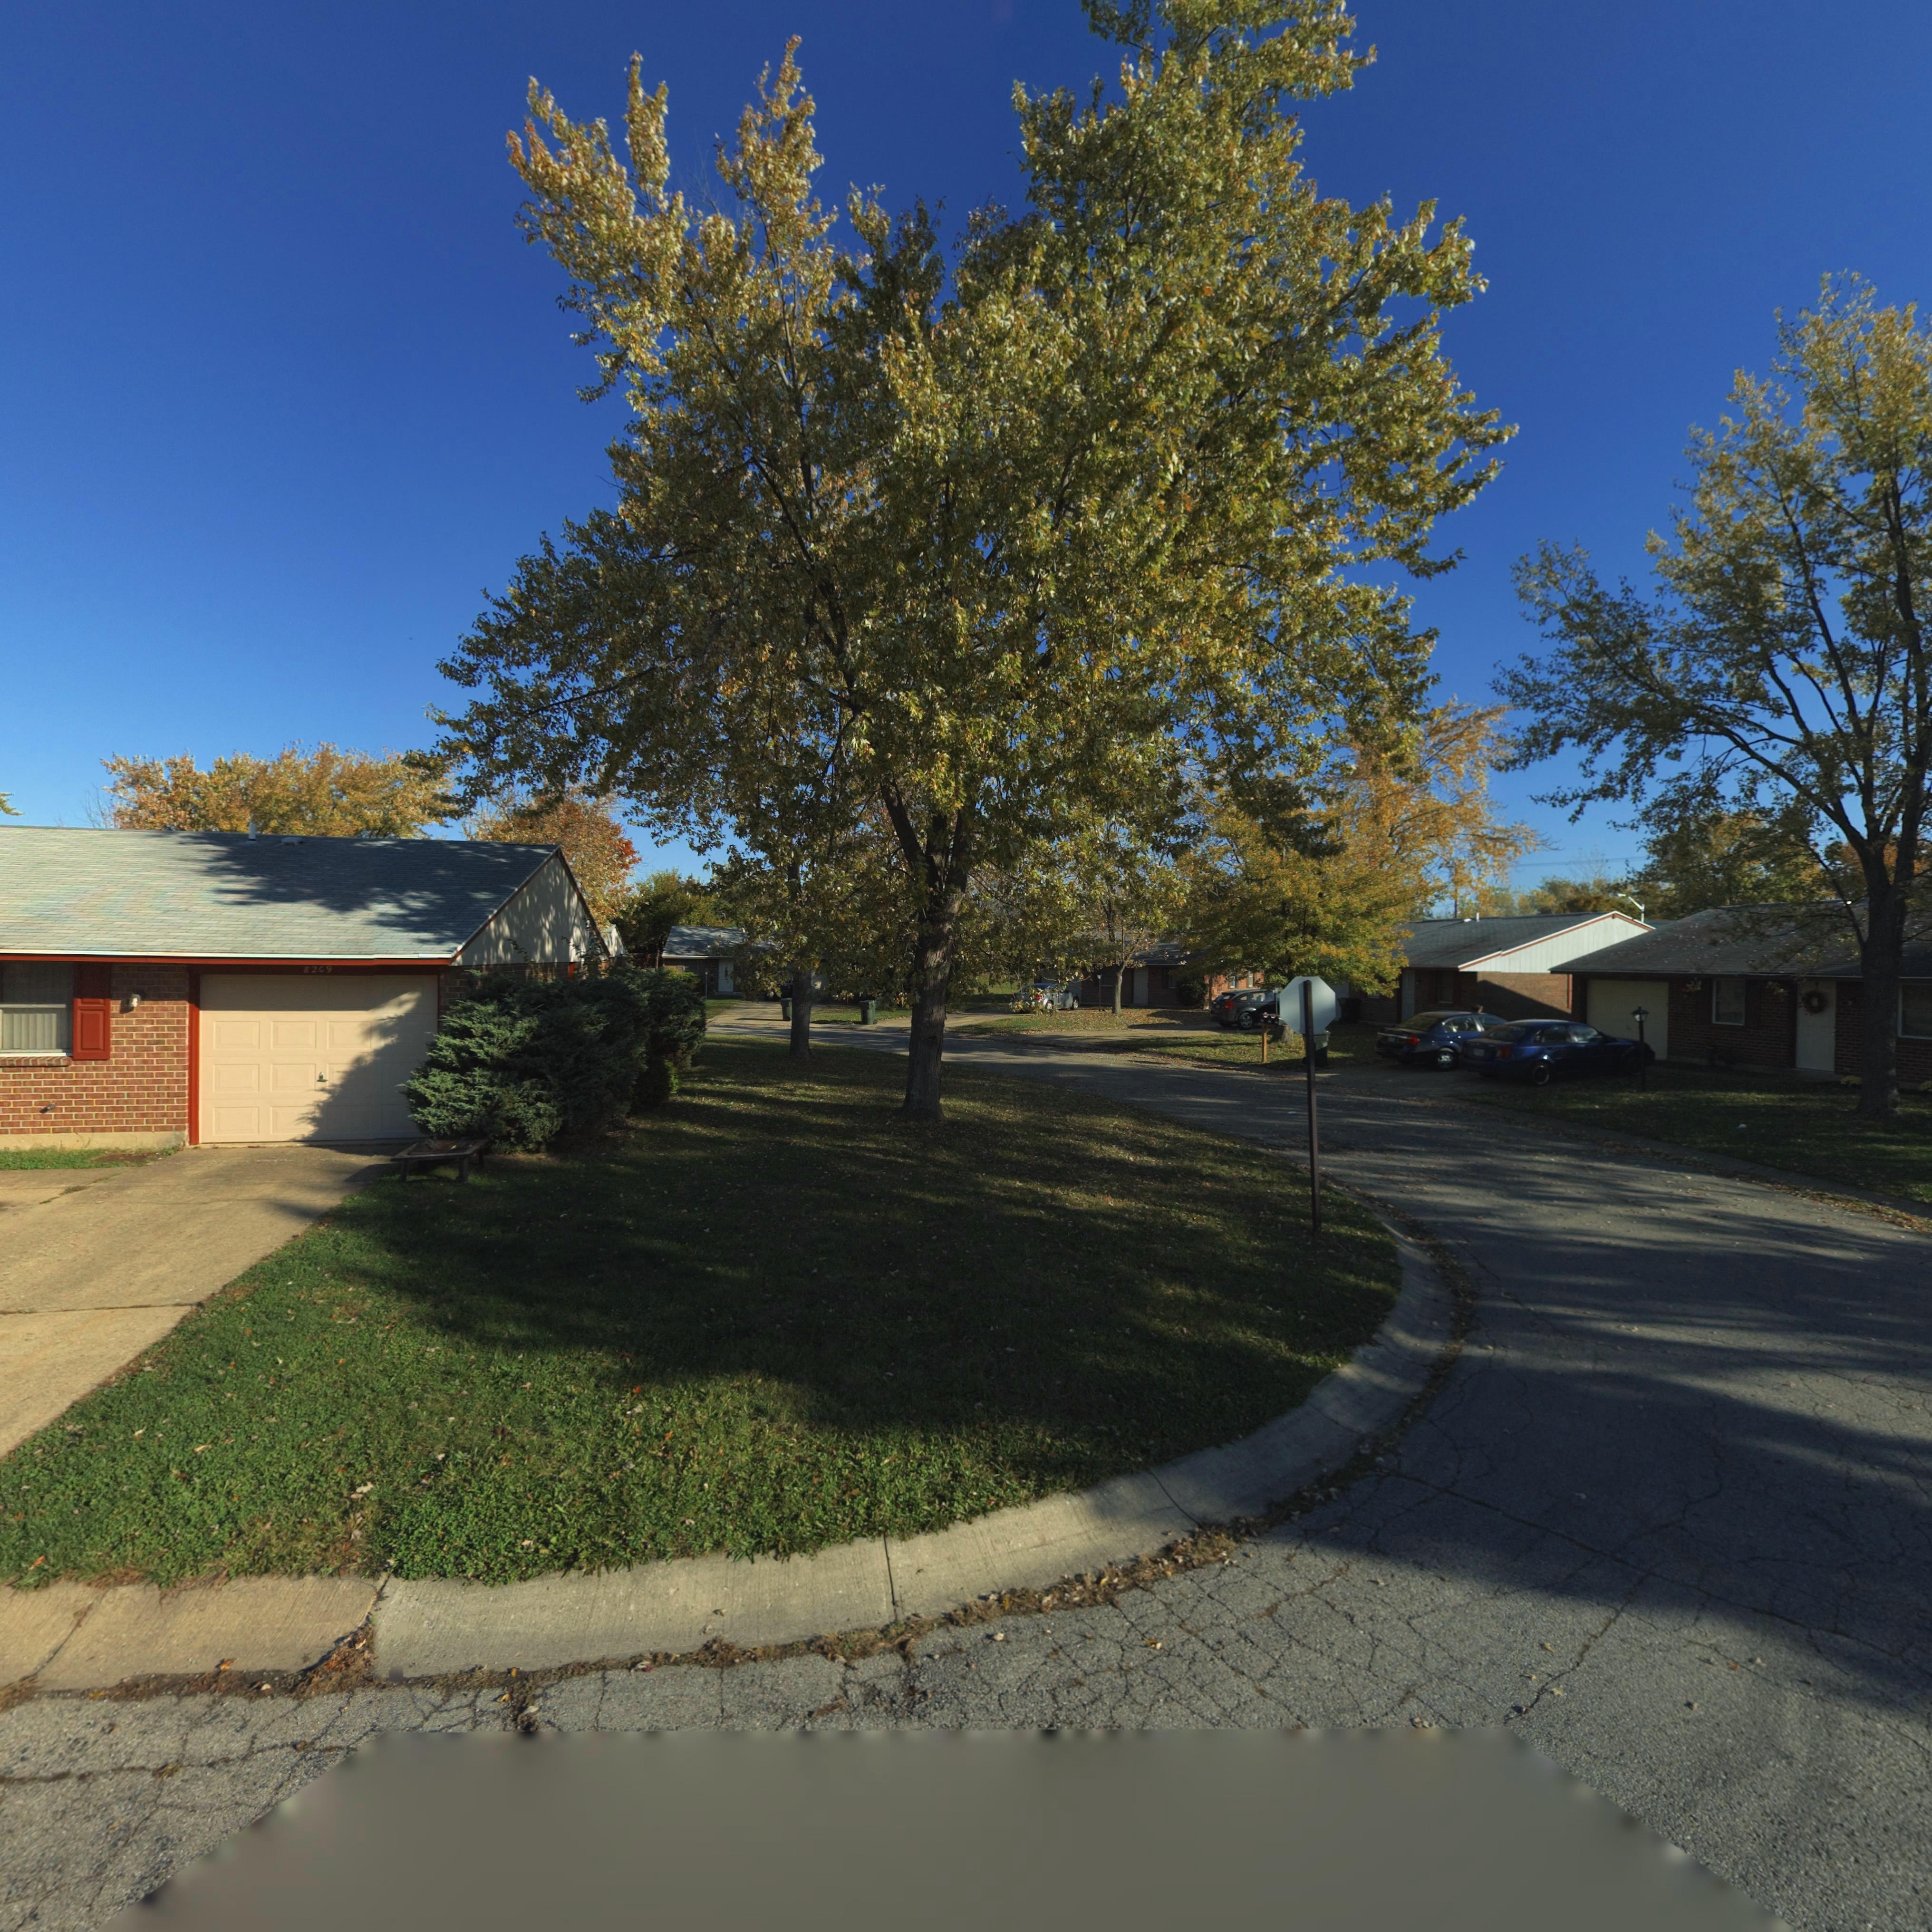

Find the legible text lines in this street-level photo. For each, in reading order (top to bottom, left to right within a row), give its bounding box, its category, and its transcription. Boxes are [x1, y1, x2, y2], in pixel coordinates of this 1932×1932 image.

[302, 964, 333, 974] StreetNumber: 82*9